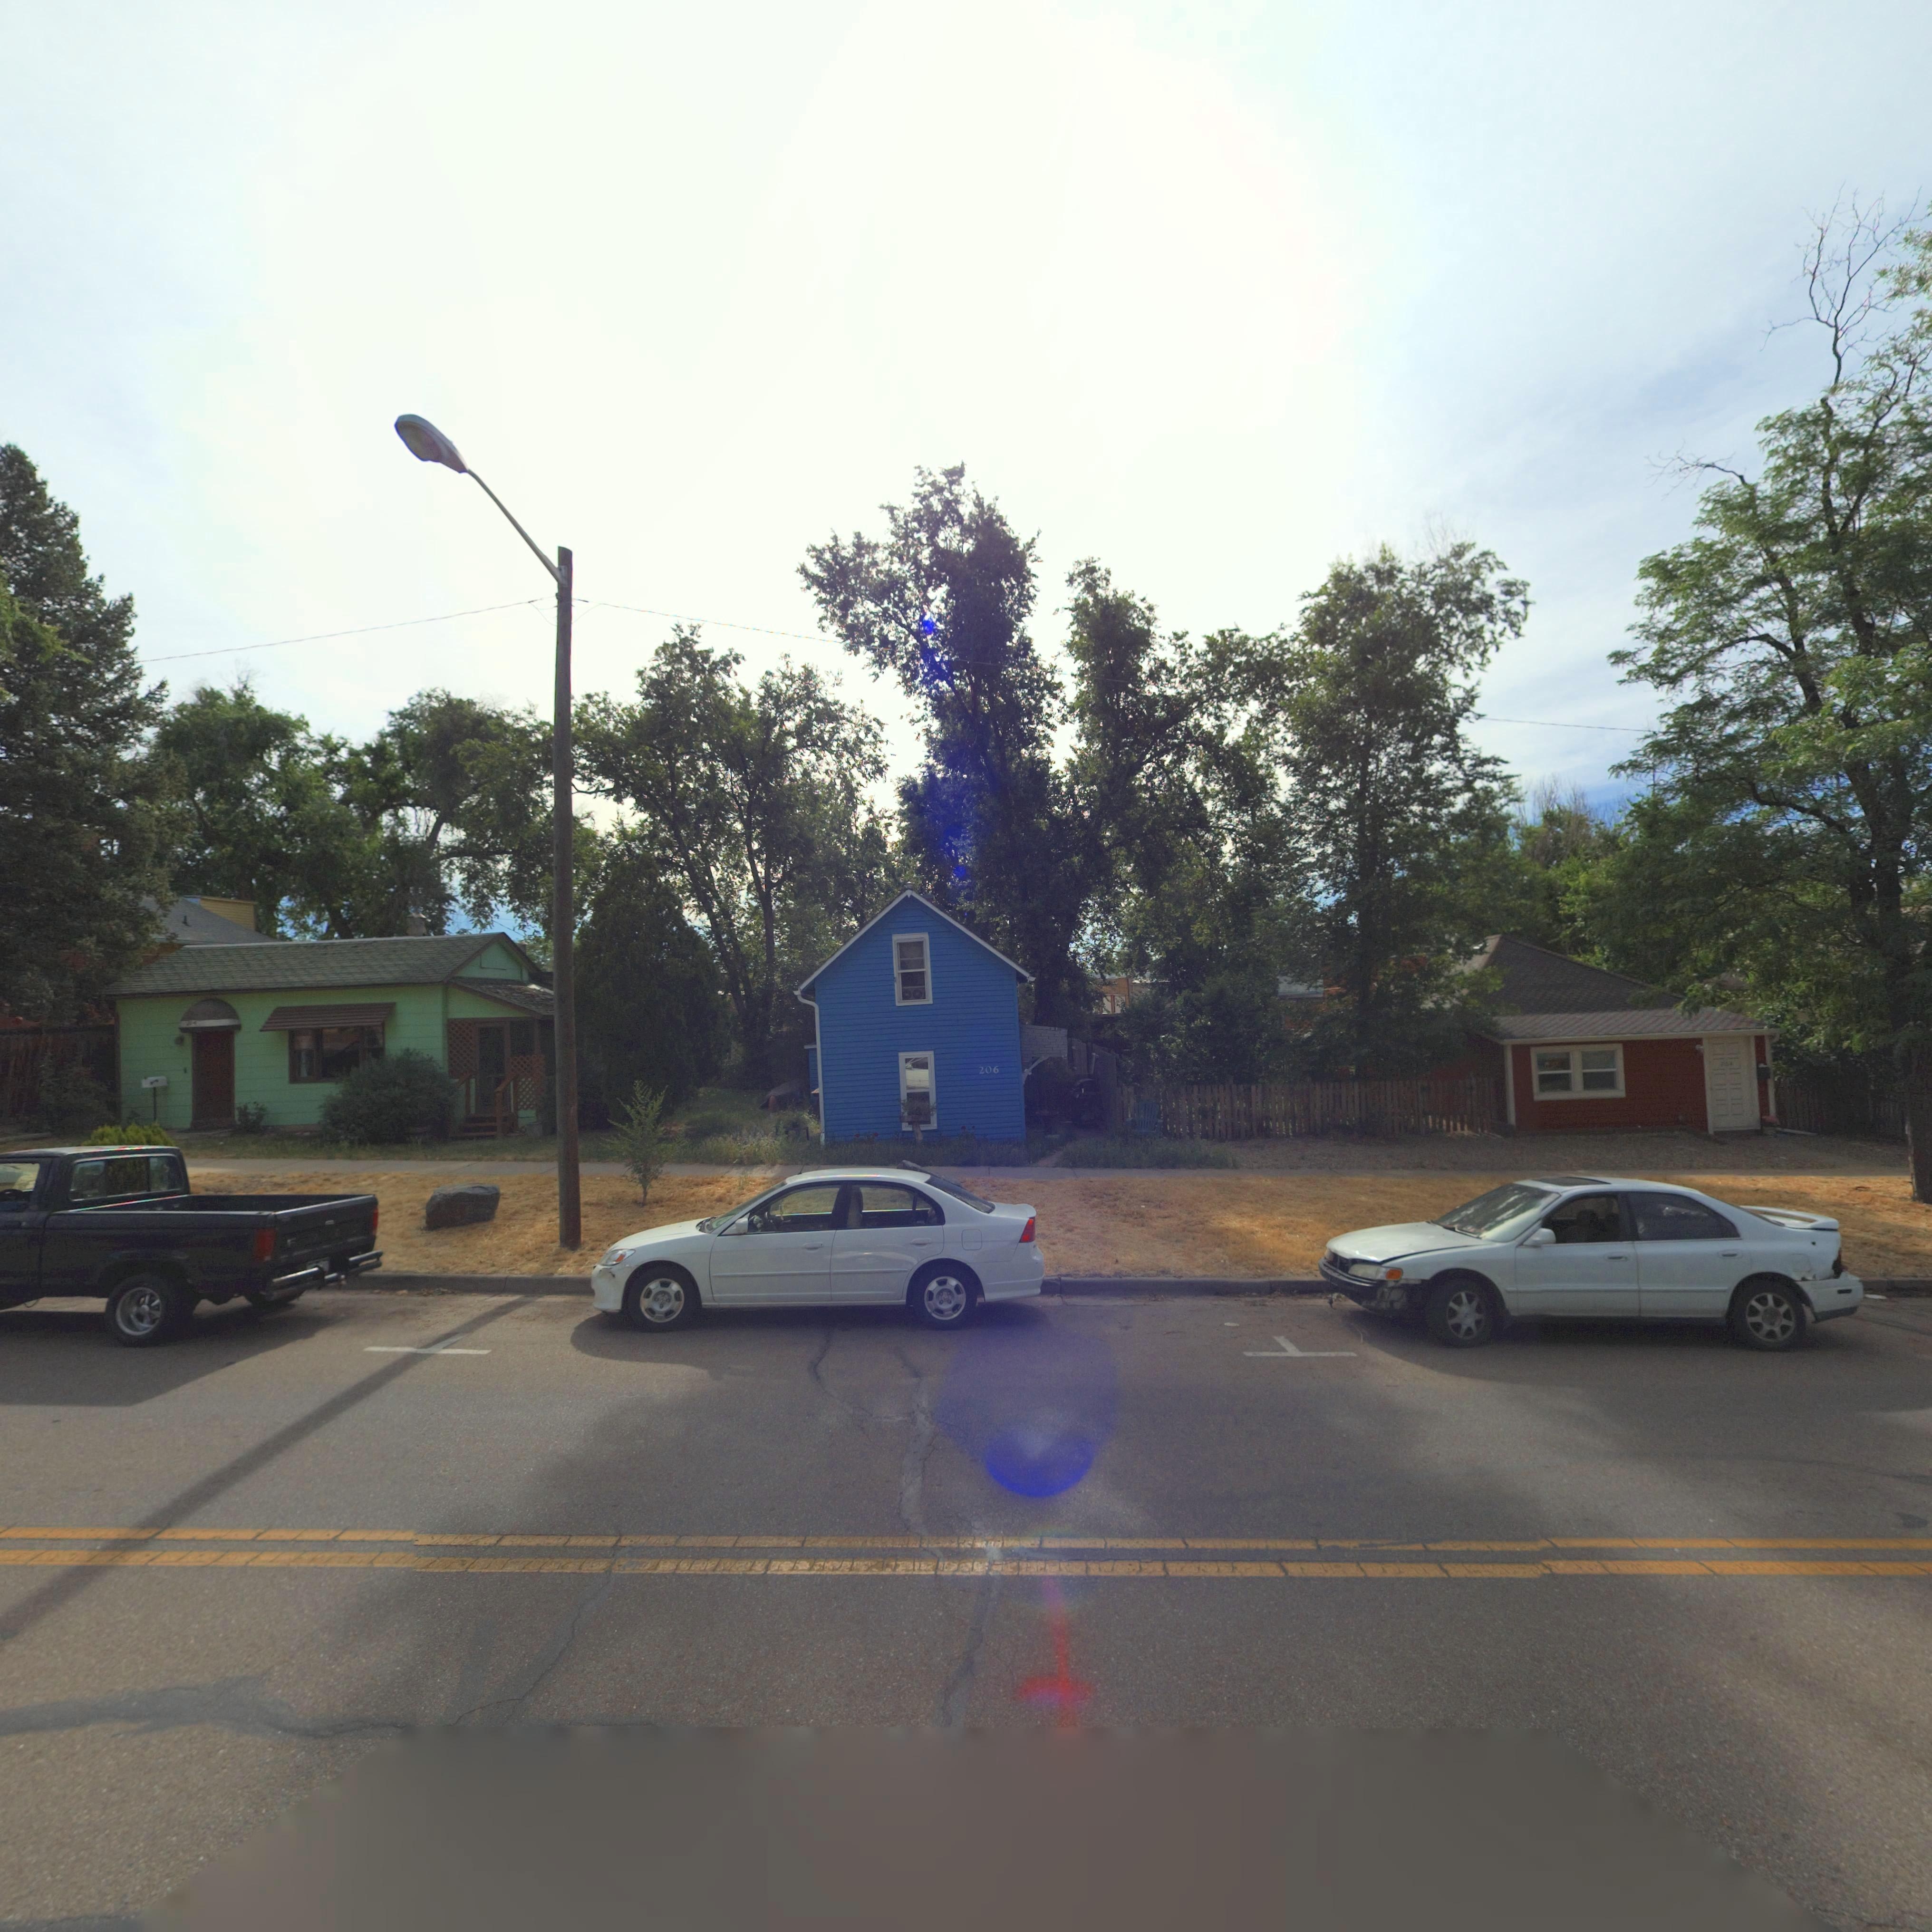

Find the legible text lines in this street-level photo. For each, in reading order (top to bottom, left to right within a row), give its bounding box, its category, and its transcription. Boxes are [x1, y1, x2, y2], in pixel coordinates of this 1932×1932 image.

[186, 1020, 199, 1025] StreetNumber: **4
[1720, 1061, 1733, 1066] StreetNumber: 204
[978, 1065, 999, 1074] StreetNumber: 206